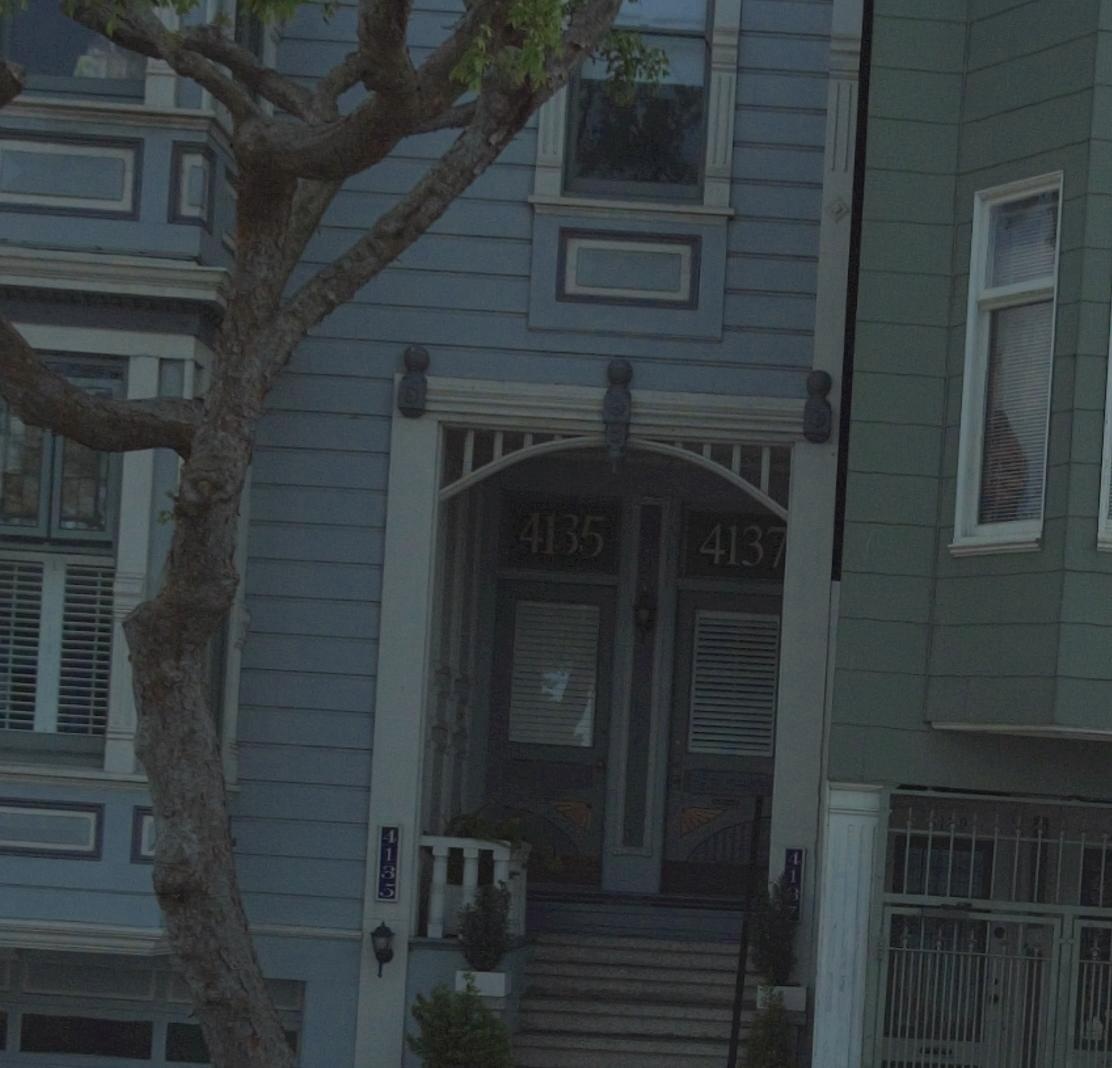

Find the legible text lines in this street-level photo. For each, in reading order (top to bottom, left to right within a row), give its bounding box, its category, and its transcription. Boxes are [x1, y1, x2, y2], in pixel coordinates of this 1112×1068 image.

[516, 511, 608, 560] StreetNumber: 4135
[699, 523, 787, 570] StreetNumber: 4137
[378, 828, 398, 899] StreetNumber: 4135